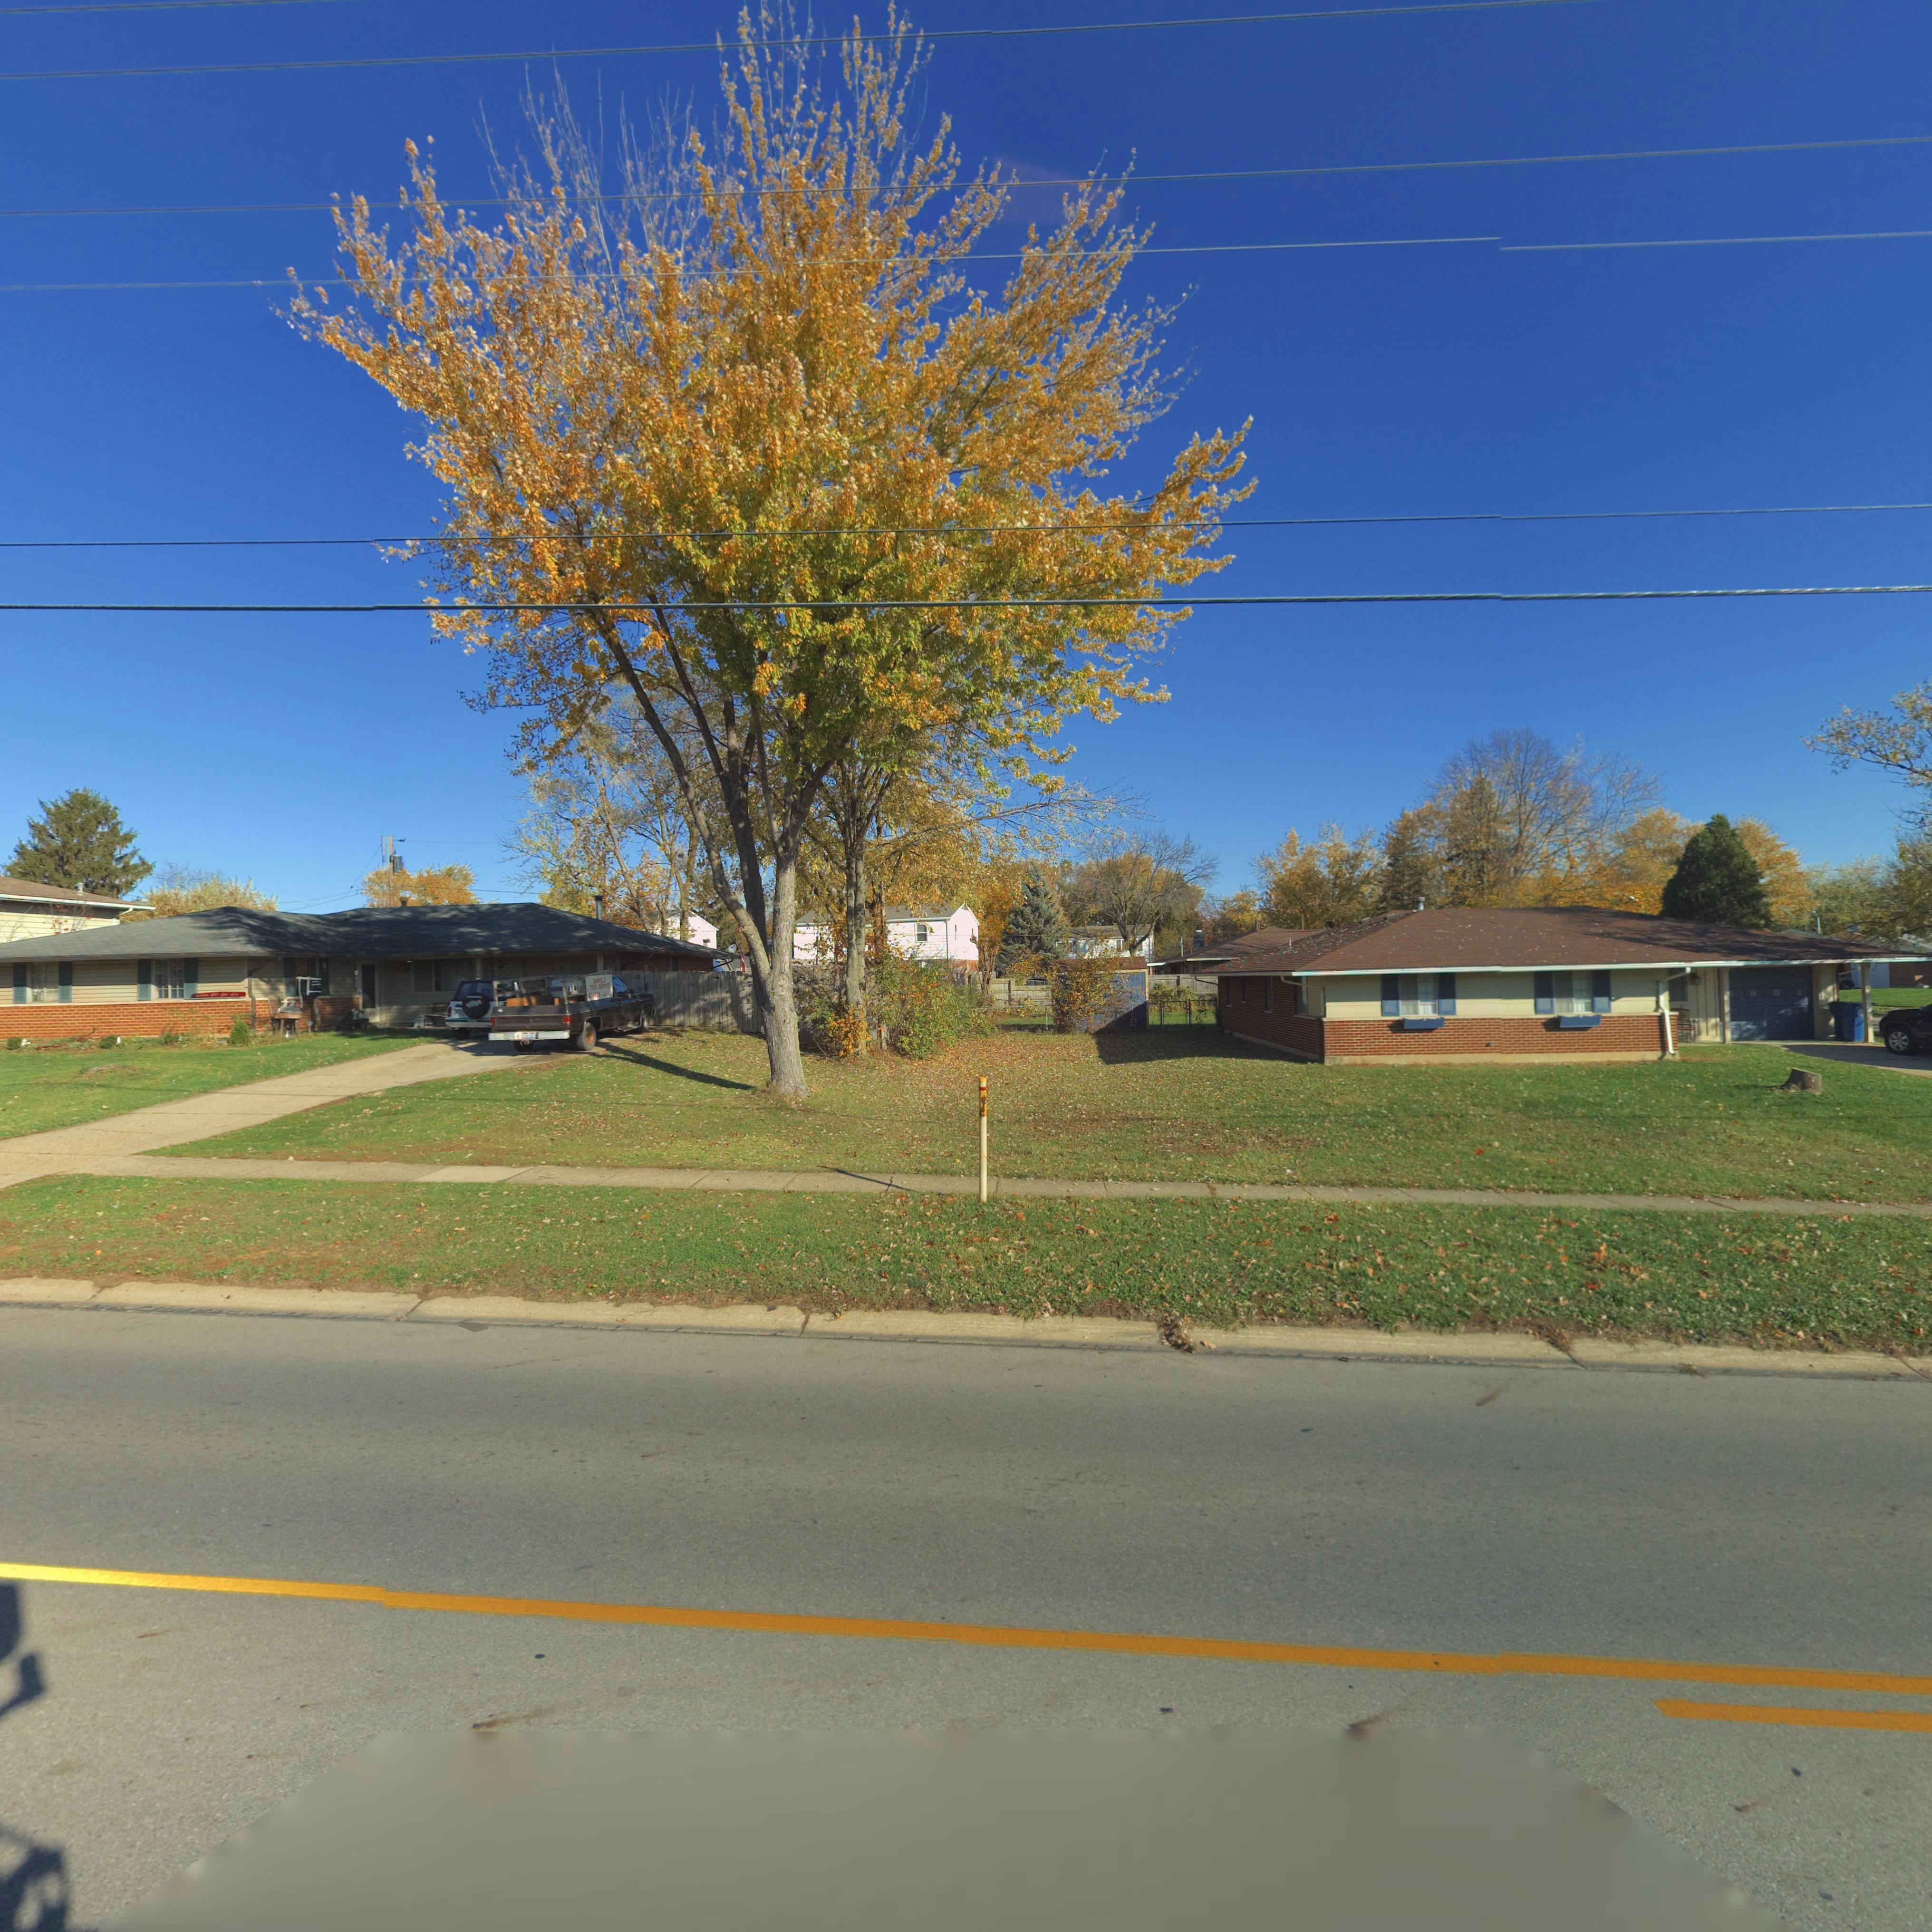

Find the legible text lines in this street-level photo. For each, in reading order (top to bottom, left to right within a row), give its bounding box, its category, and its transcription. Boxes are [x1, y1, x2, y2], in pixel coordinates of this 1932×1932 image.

[551, 965, 582, 972] StreetNumber: 5975
[1748, 989, 1803, 997] StreetNumber: 981